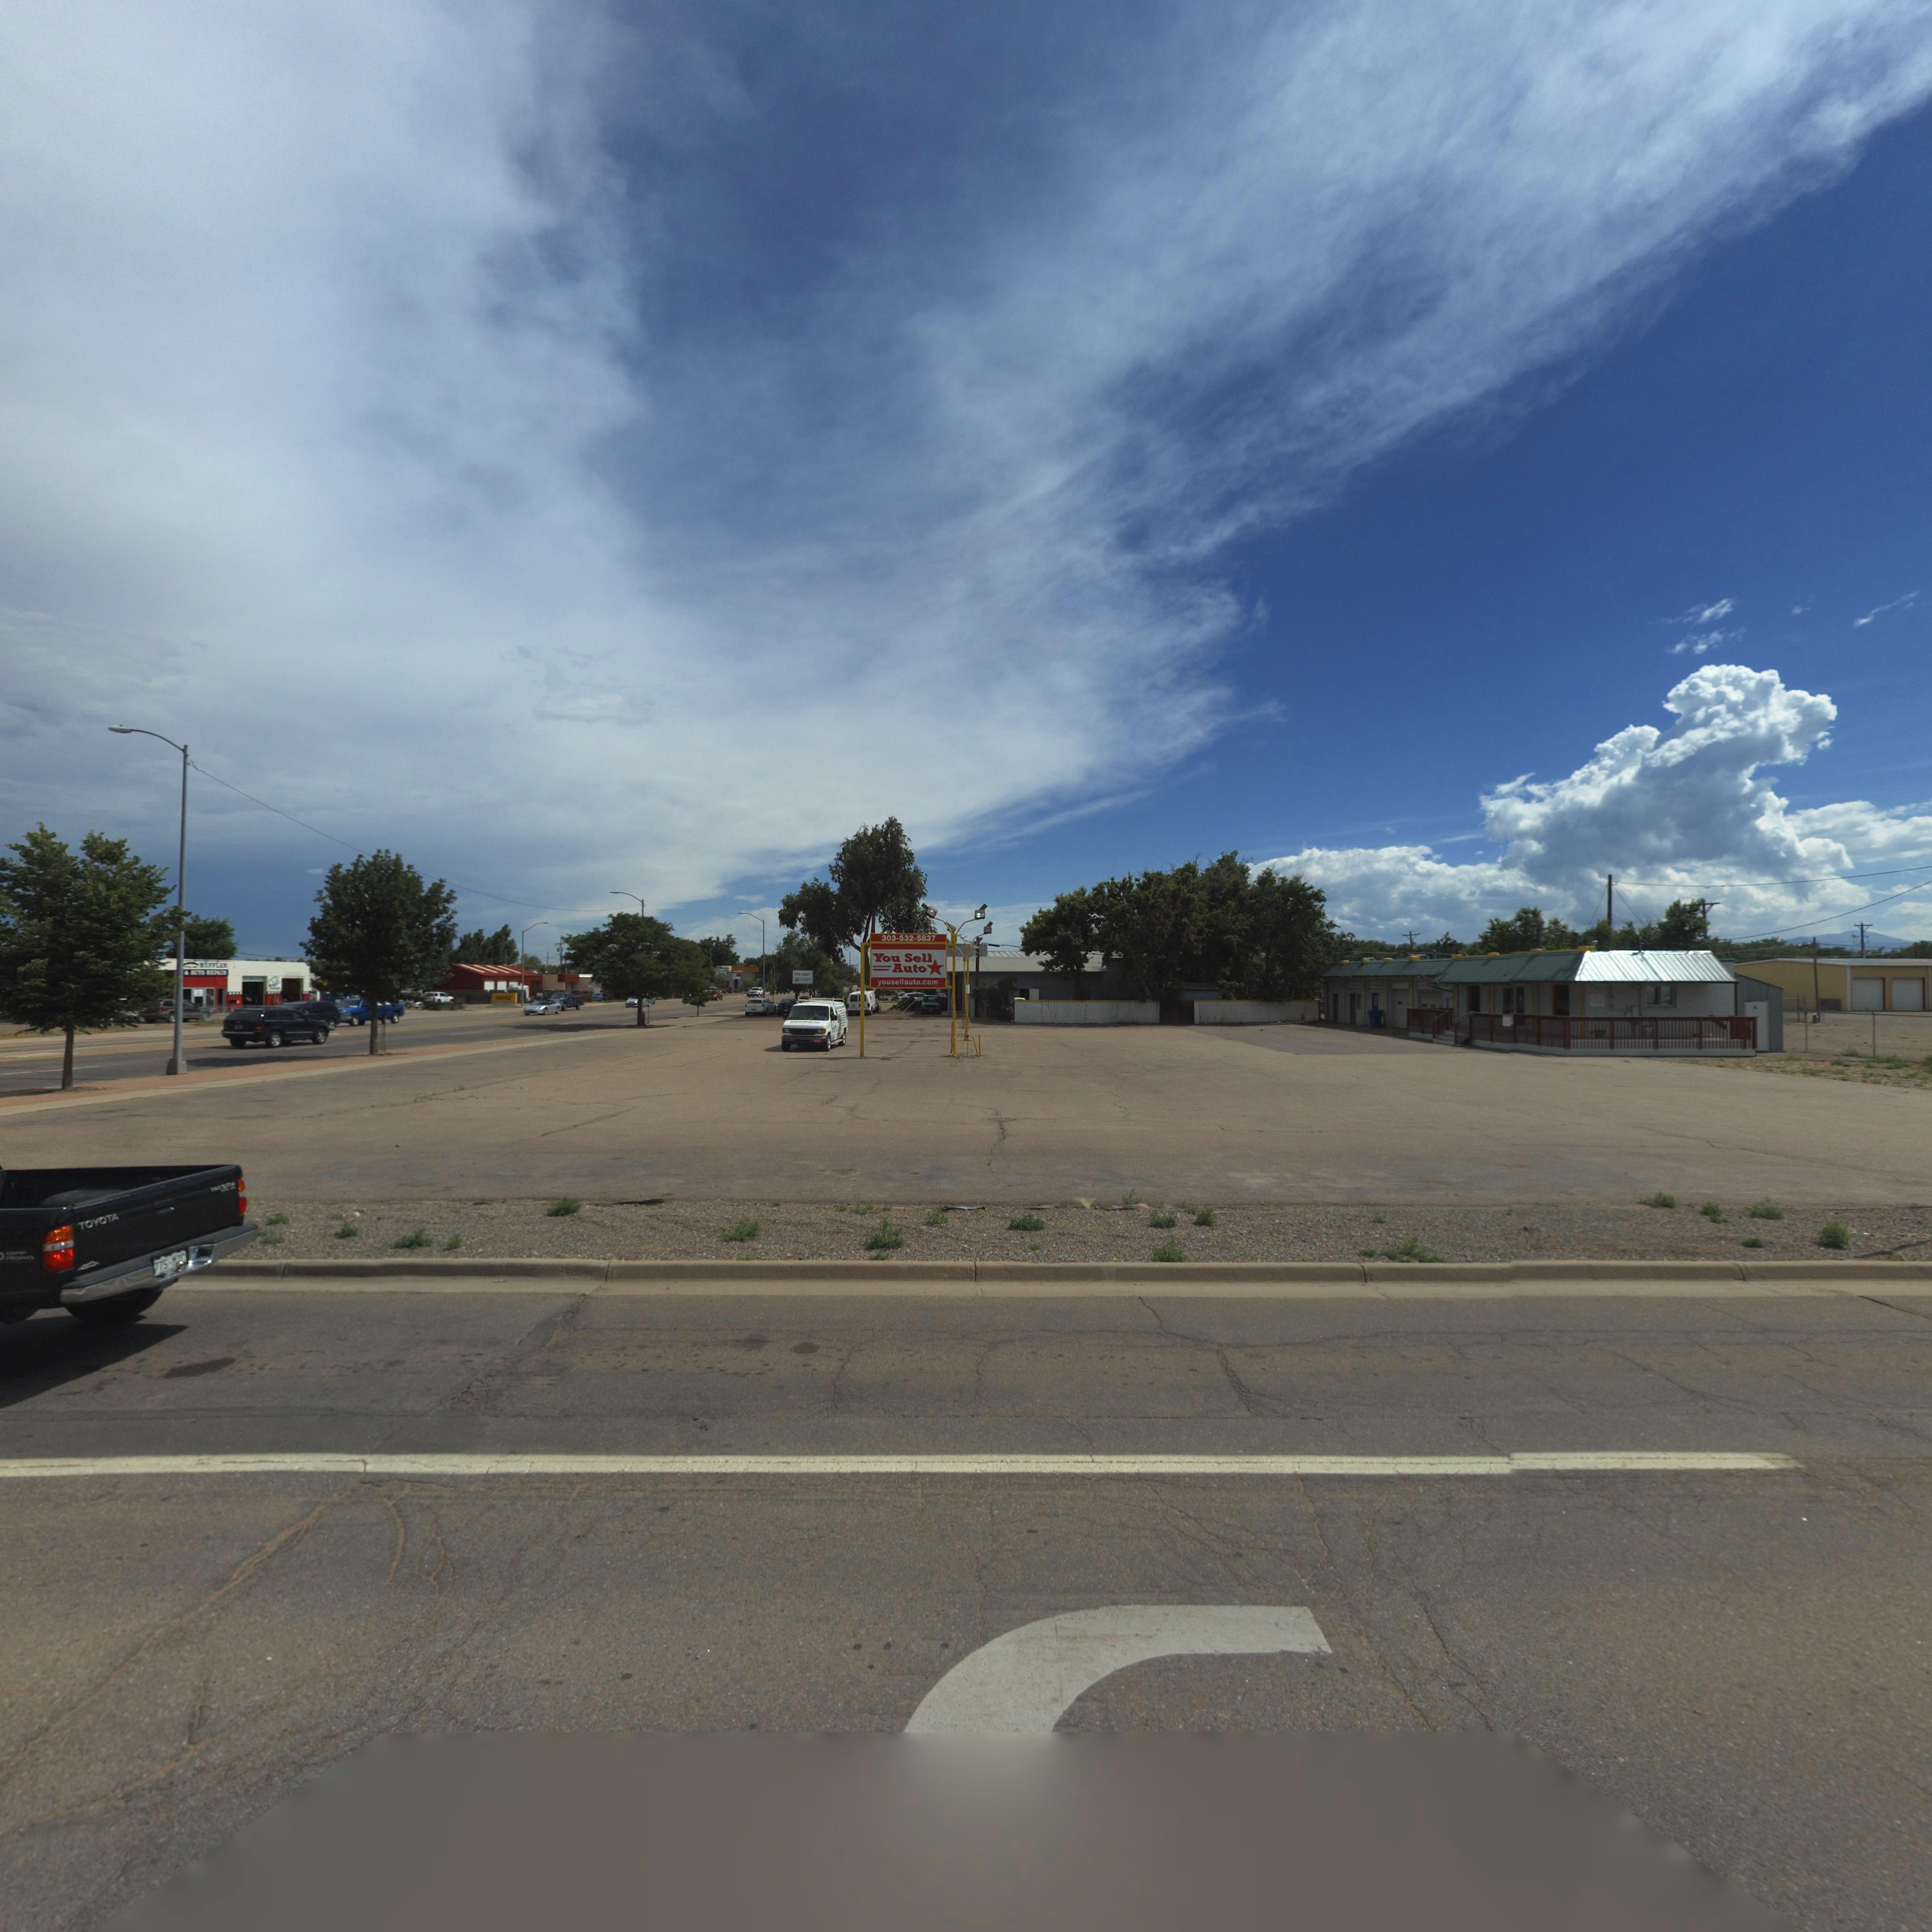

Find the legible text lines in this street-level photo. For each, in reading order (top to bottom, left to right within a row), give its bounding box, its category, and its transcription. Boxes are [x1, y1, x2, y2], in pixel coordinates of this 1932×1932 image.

[199, 962, 227, 967] BusinessName: M*FFLE*
[183, 969, 227, 975] BusinessName: * *UTO *EP***
[495, 995, 512, 1000] BusinessName: Hertz